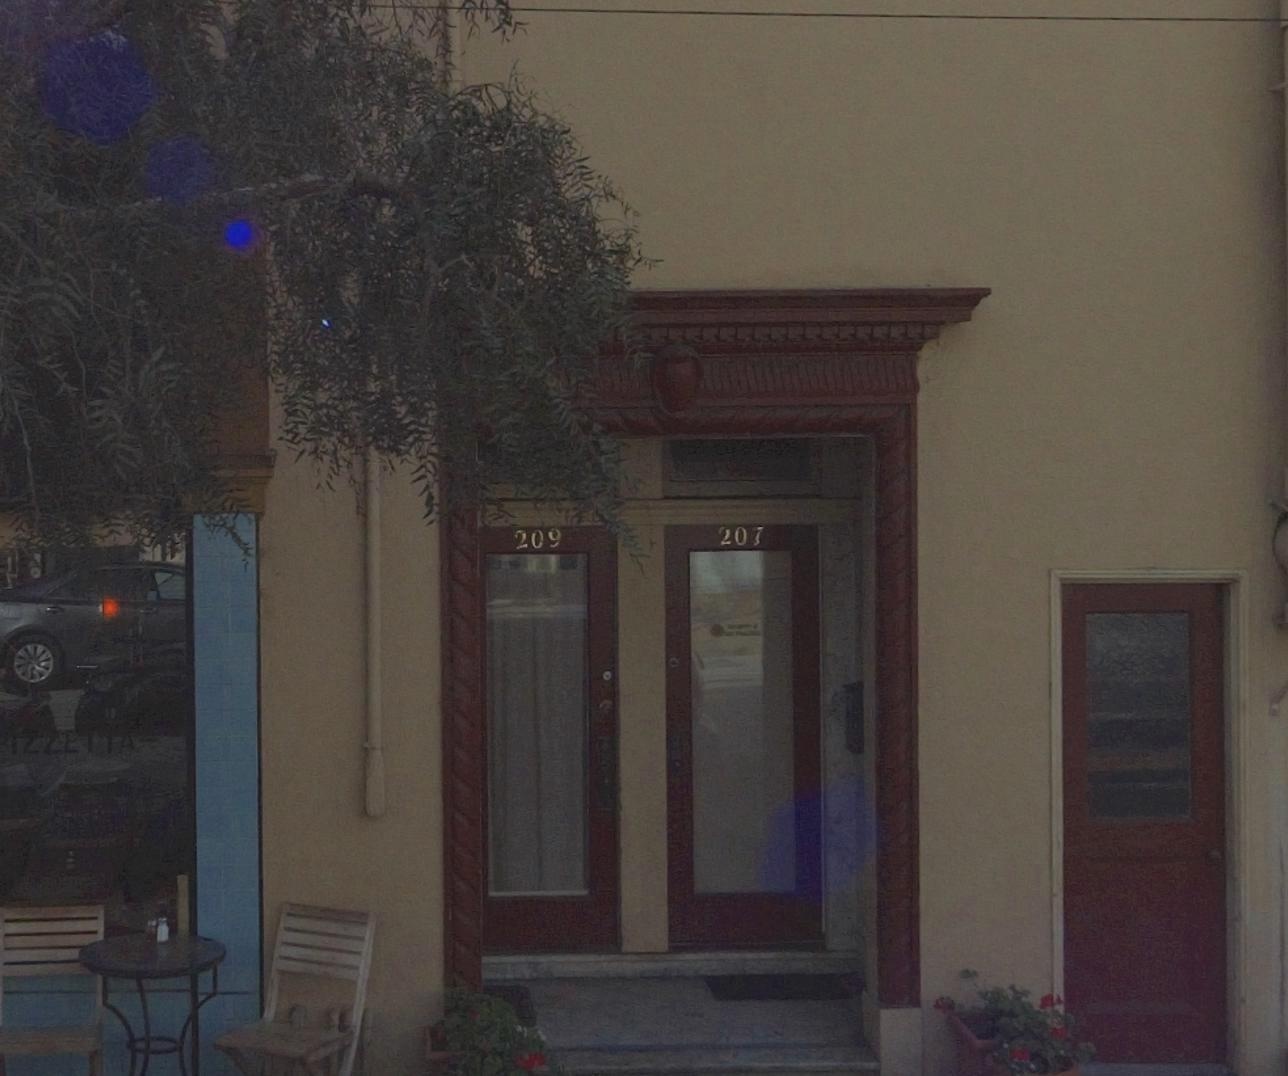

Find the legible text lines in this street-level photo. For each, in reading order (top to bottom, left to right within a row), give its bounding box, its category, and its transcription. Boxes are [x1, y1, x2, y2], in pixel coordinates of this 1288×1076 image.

[513, 526, 563, 551] StreetNumber: 209
[717, 524, 766, 547] StreetNumber: 207